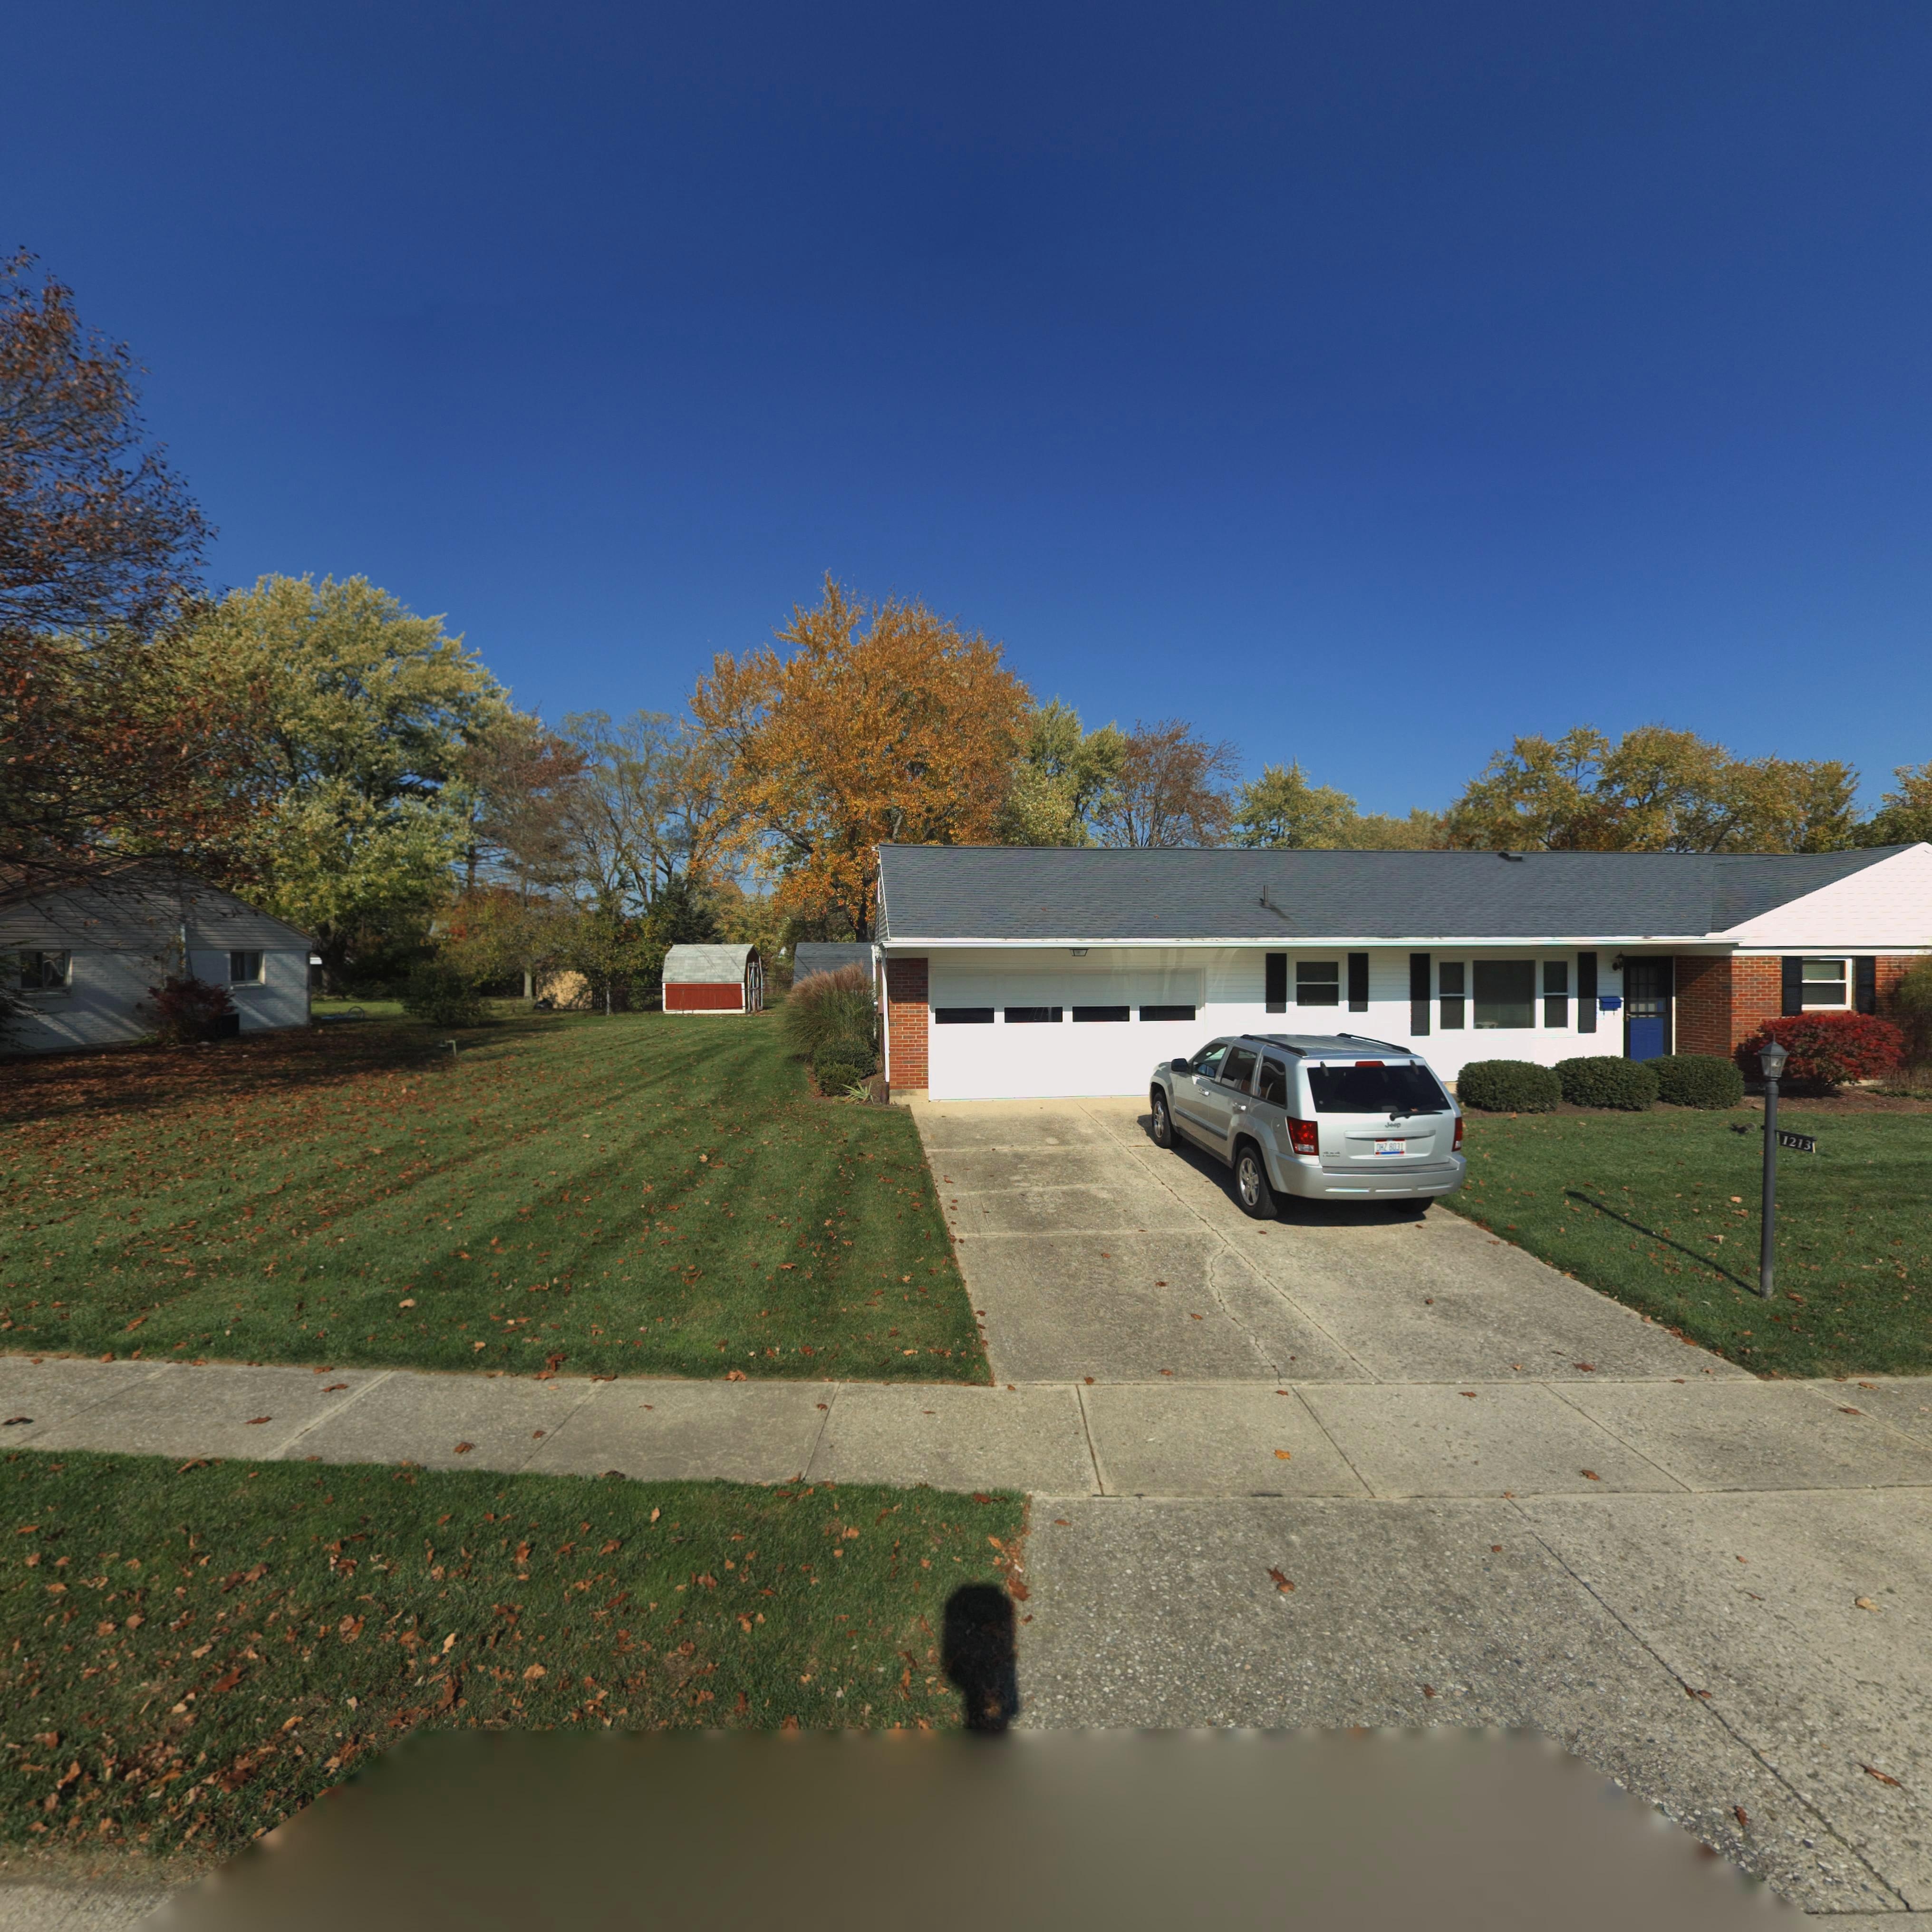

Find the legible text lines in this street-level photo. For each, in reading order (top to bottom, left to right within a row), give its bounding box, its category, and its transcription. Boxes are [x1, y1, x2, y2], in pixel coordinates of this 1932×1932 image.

[1384, 1121, 1401, 1129] None: Jeep
[1376, 1142, 1403, 1151] None: DHZ 8031
[1782, 1134, 1812, 1152] StreetNumber: 1213
[1323, 1151, 1341, 1155] None: 4x4